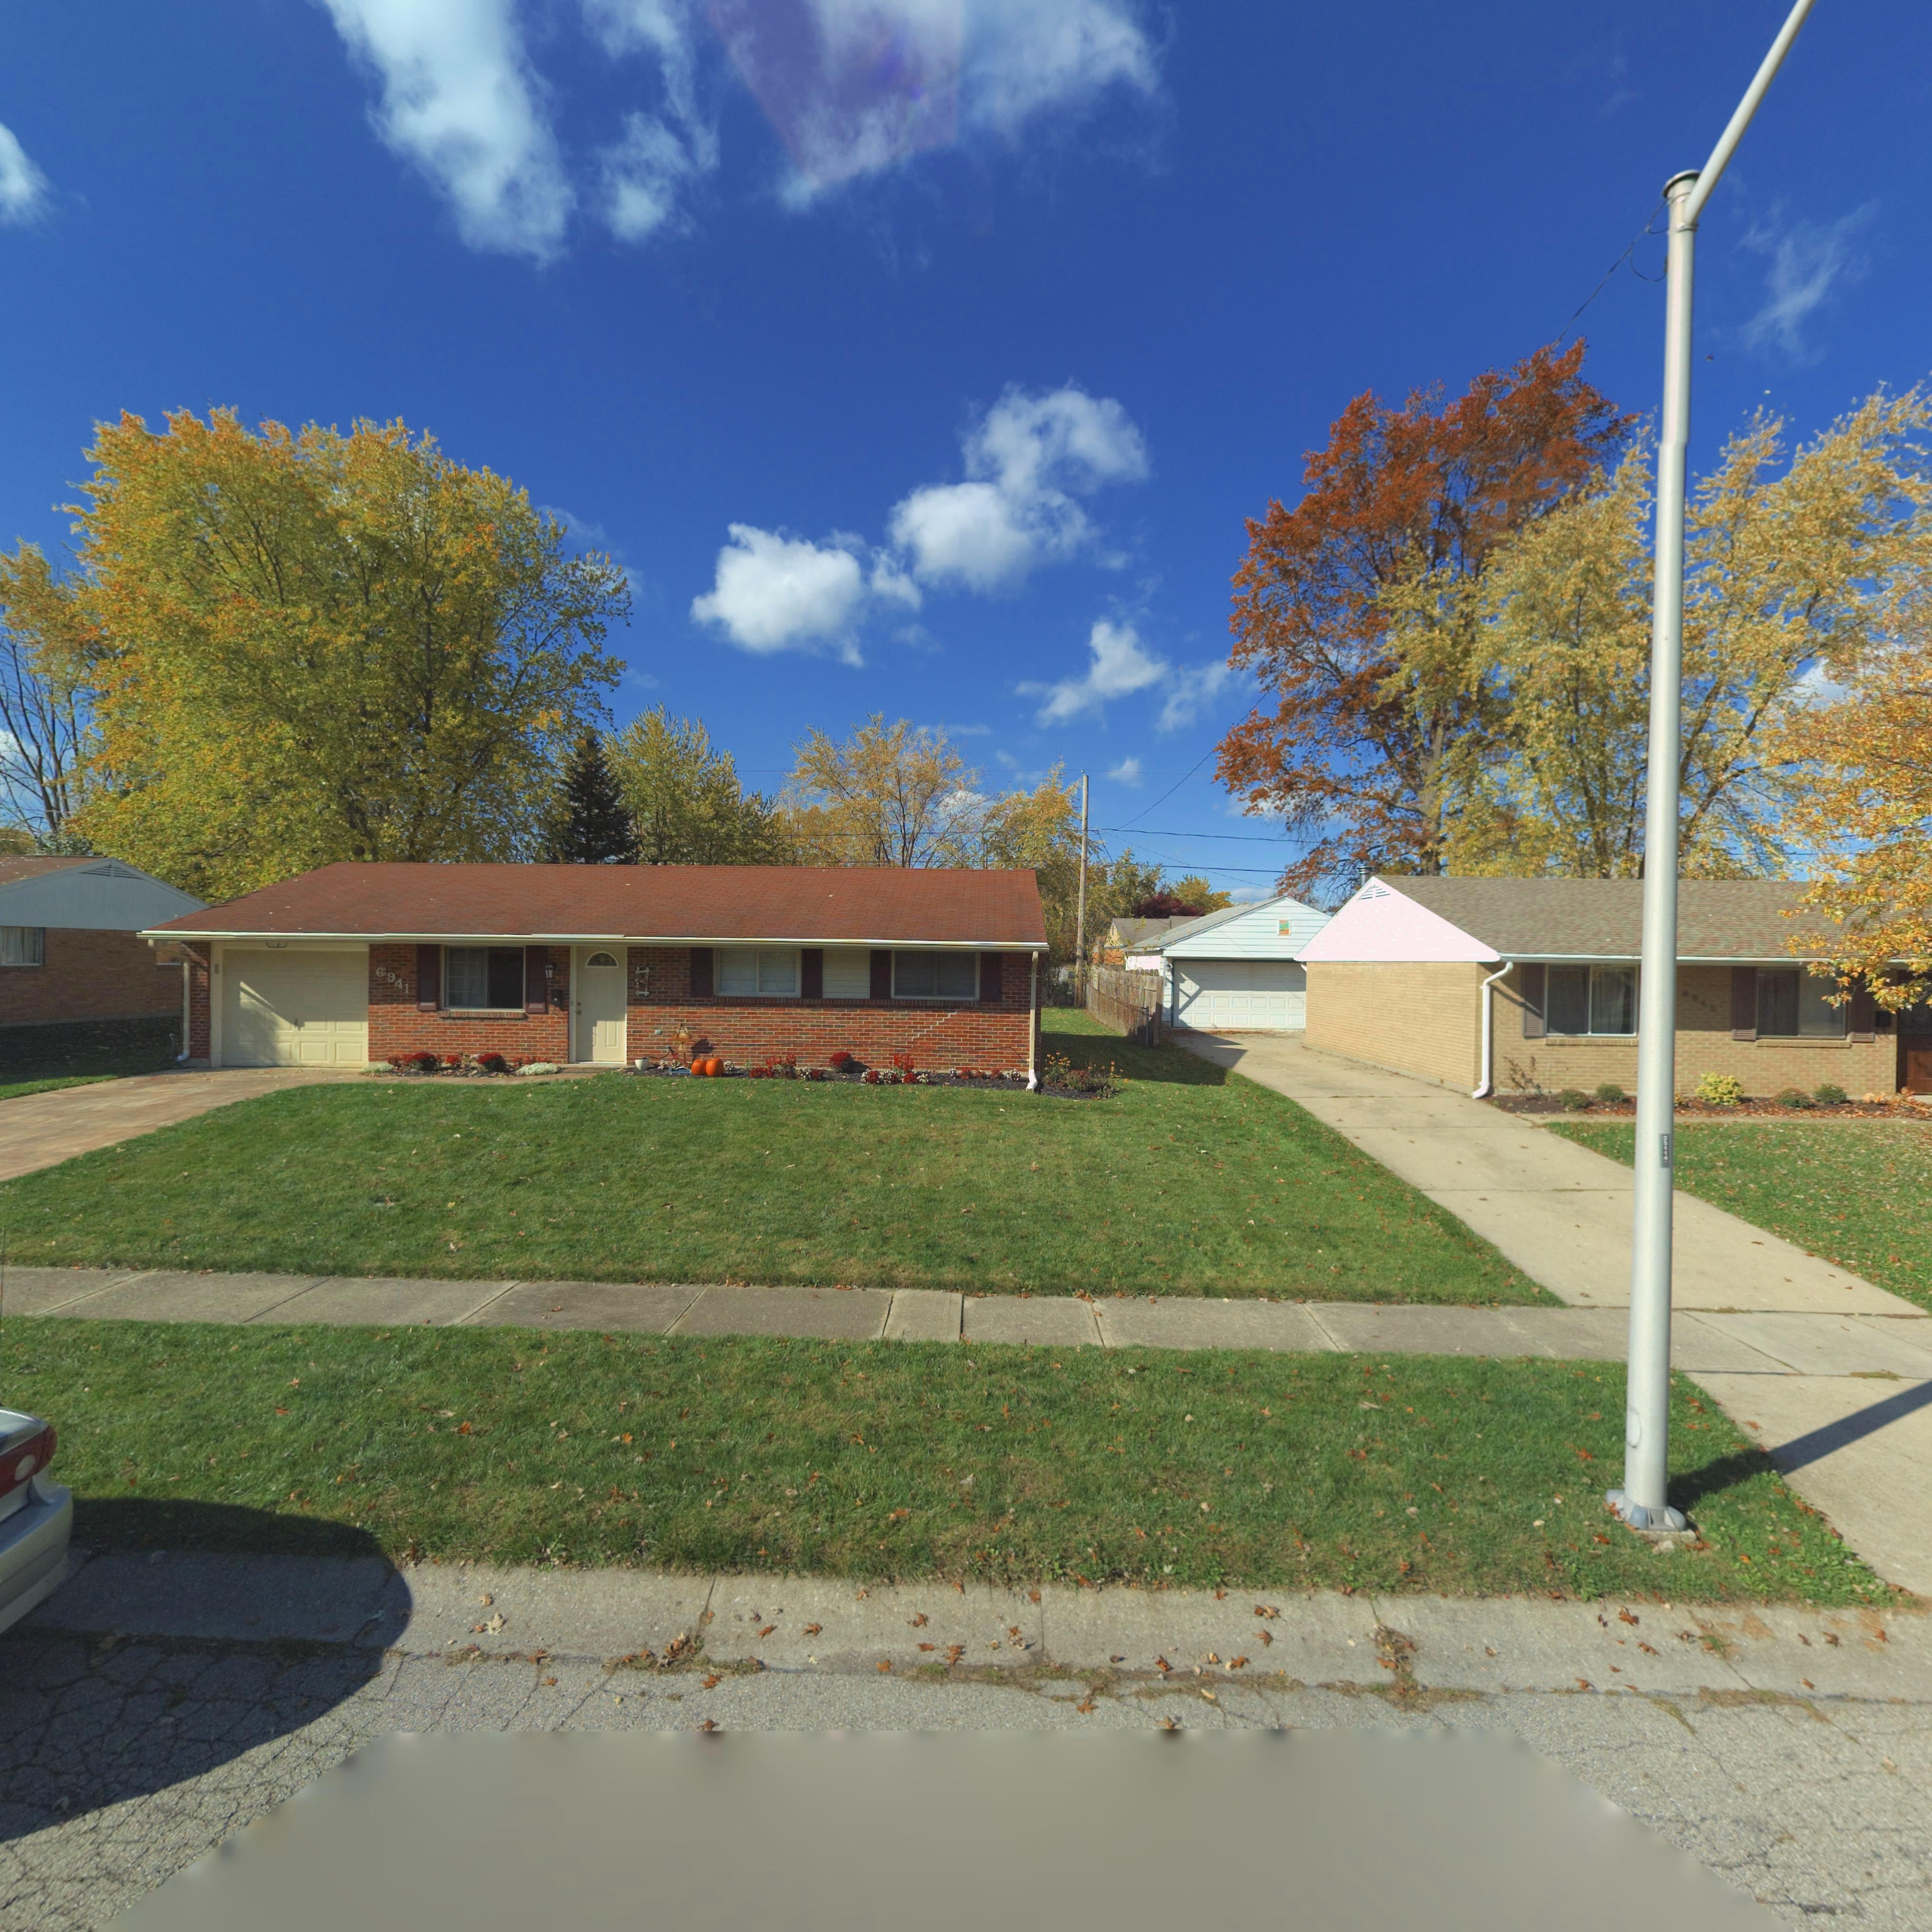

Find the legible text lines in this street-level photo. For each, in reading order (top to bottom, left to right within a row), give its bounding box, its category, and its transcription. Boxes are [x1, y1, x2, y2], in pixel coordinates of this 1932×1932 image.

[375, 965, 410, 995] StreetNumber: 6941
[1680, 988, 1718, 1014] StreetNumber: **45